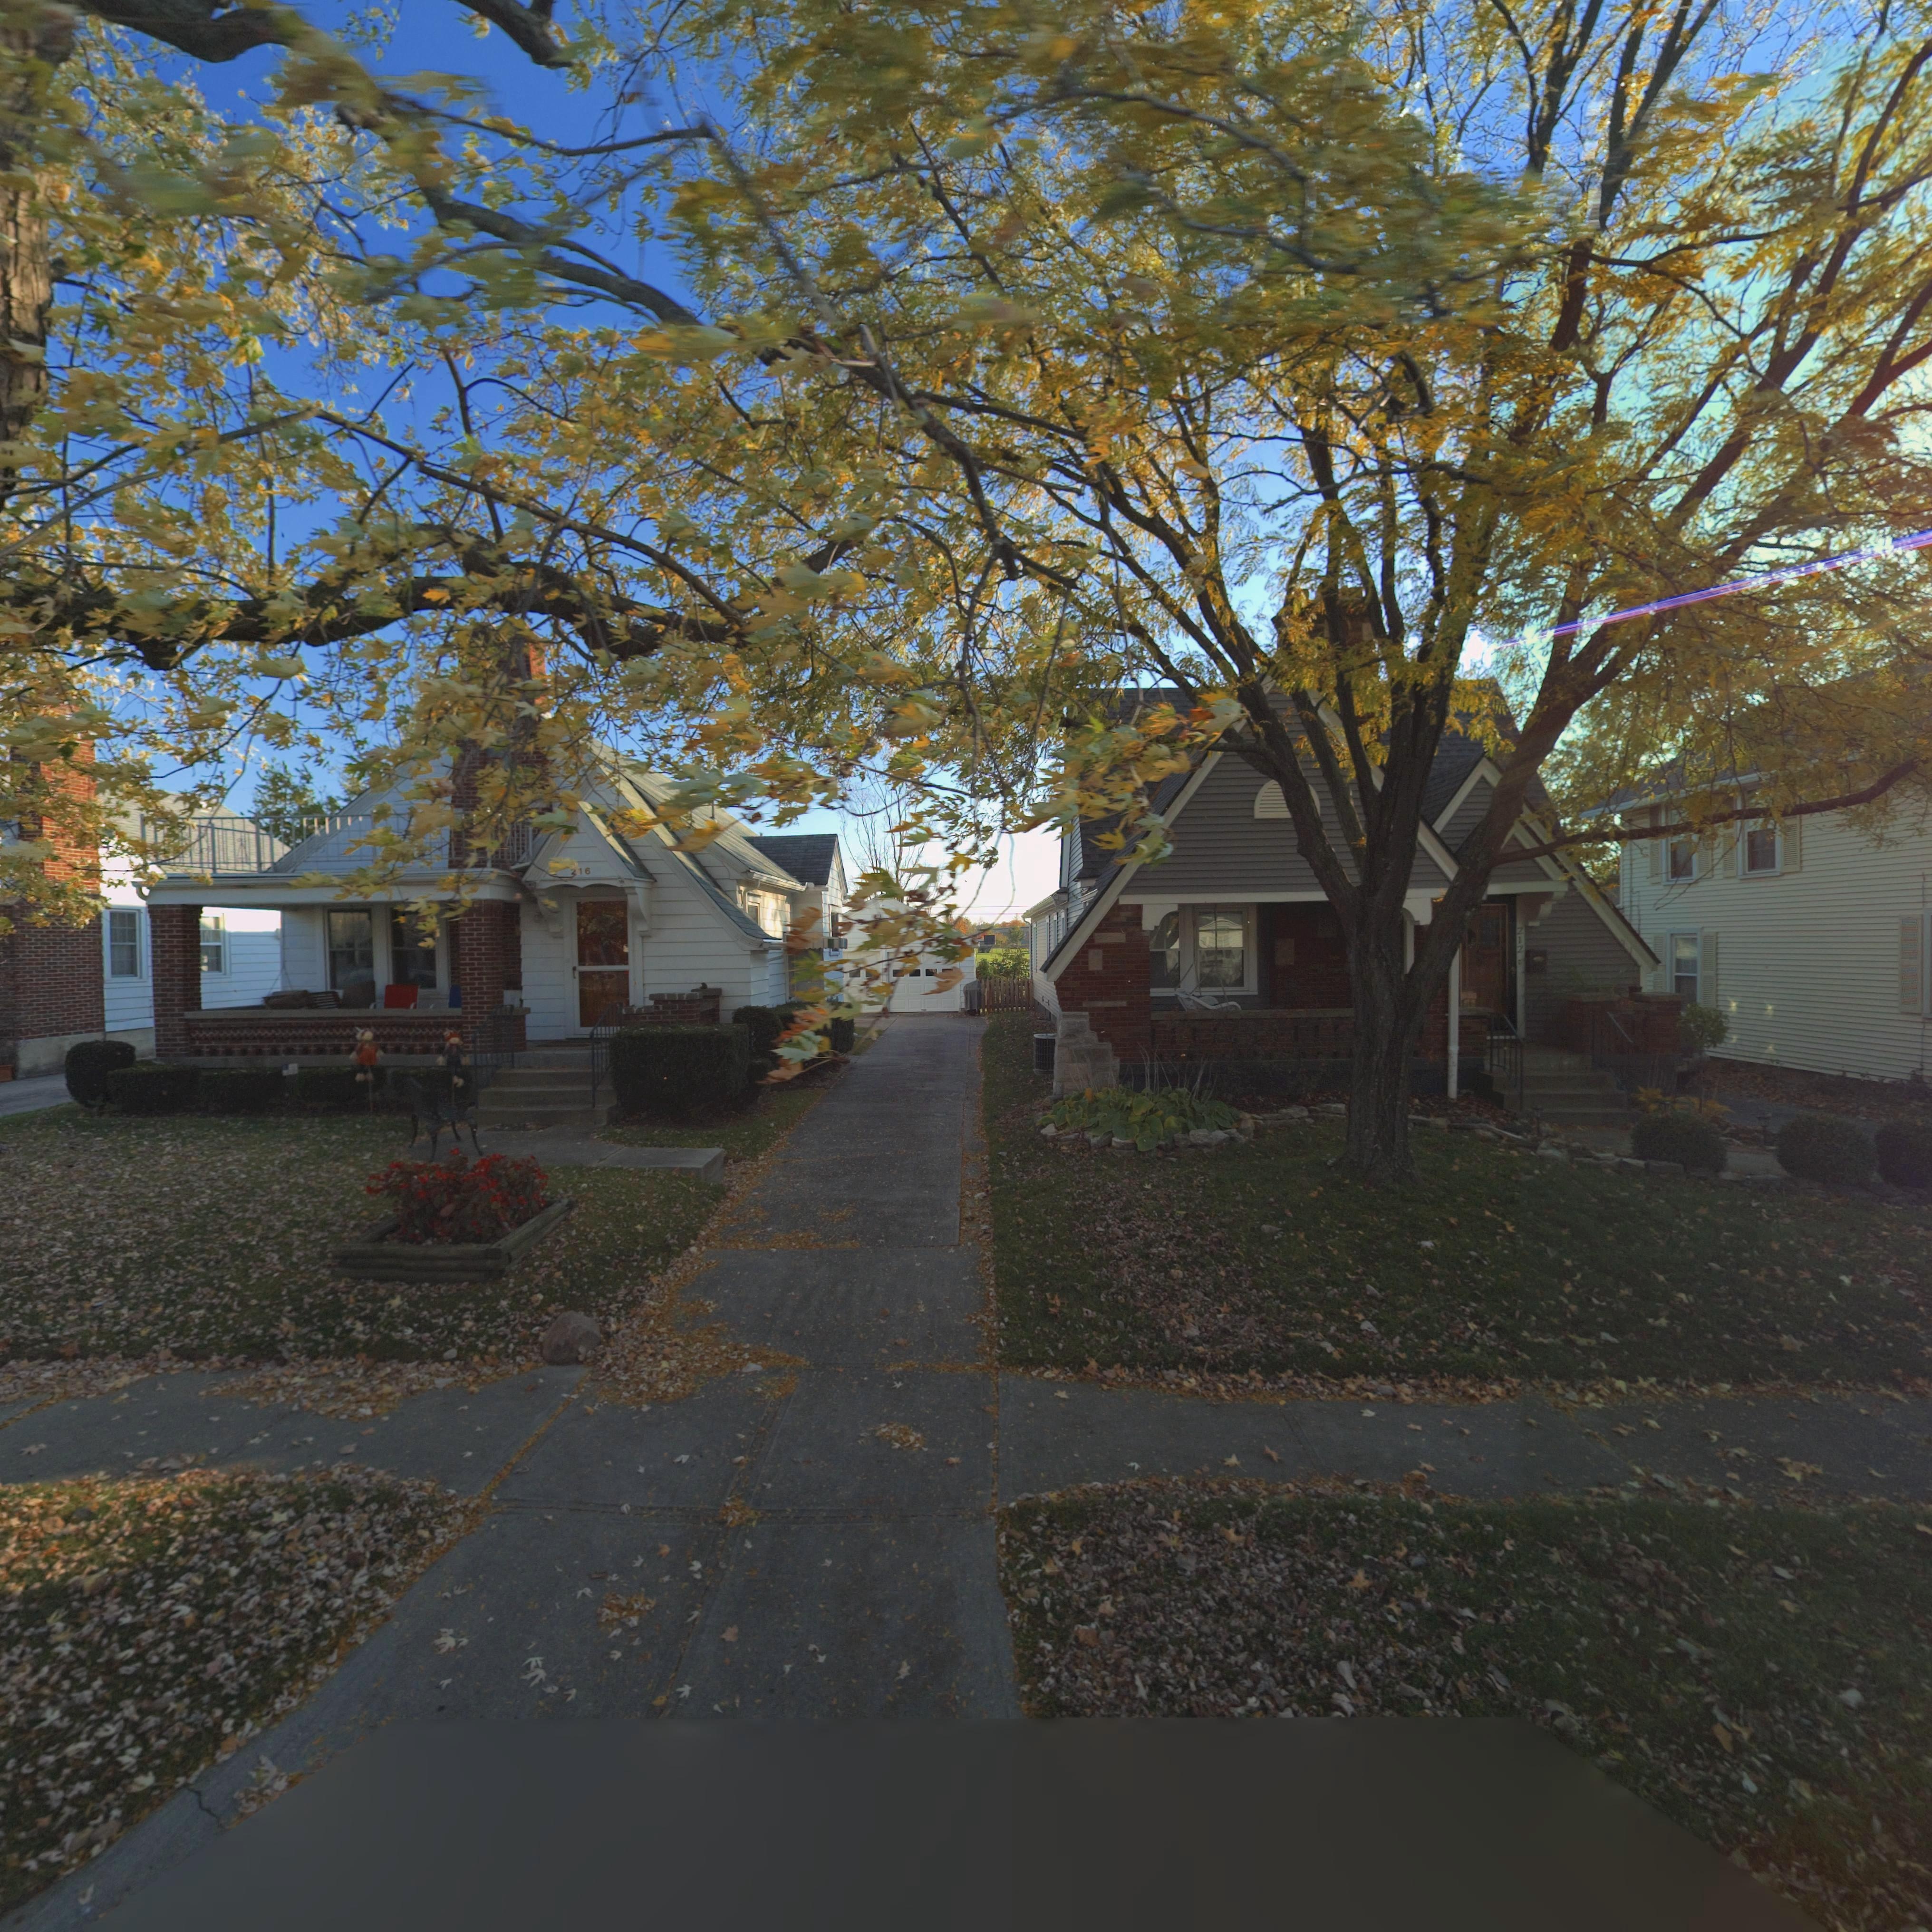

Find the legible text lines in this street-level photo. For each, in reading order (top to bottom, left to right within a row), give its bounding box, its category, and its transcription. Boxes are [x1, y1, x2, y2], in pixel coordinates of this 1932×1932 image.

[569, 866, 592, 877] StreetNumber: *16
[1516, 926, 1525, 954] StreetNumber: 212